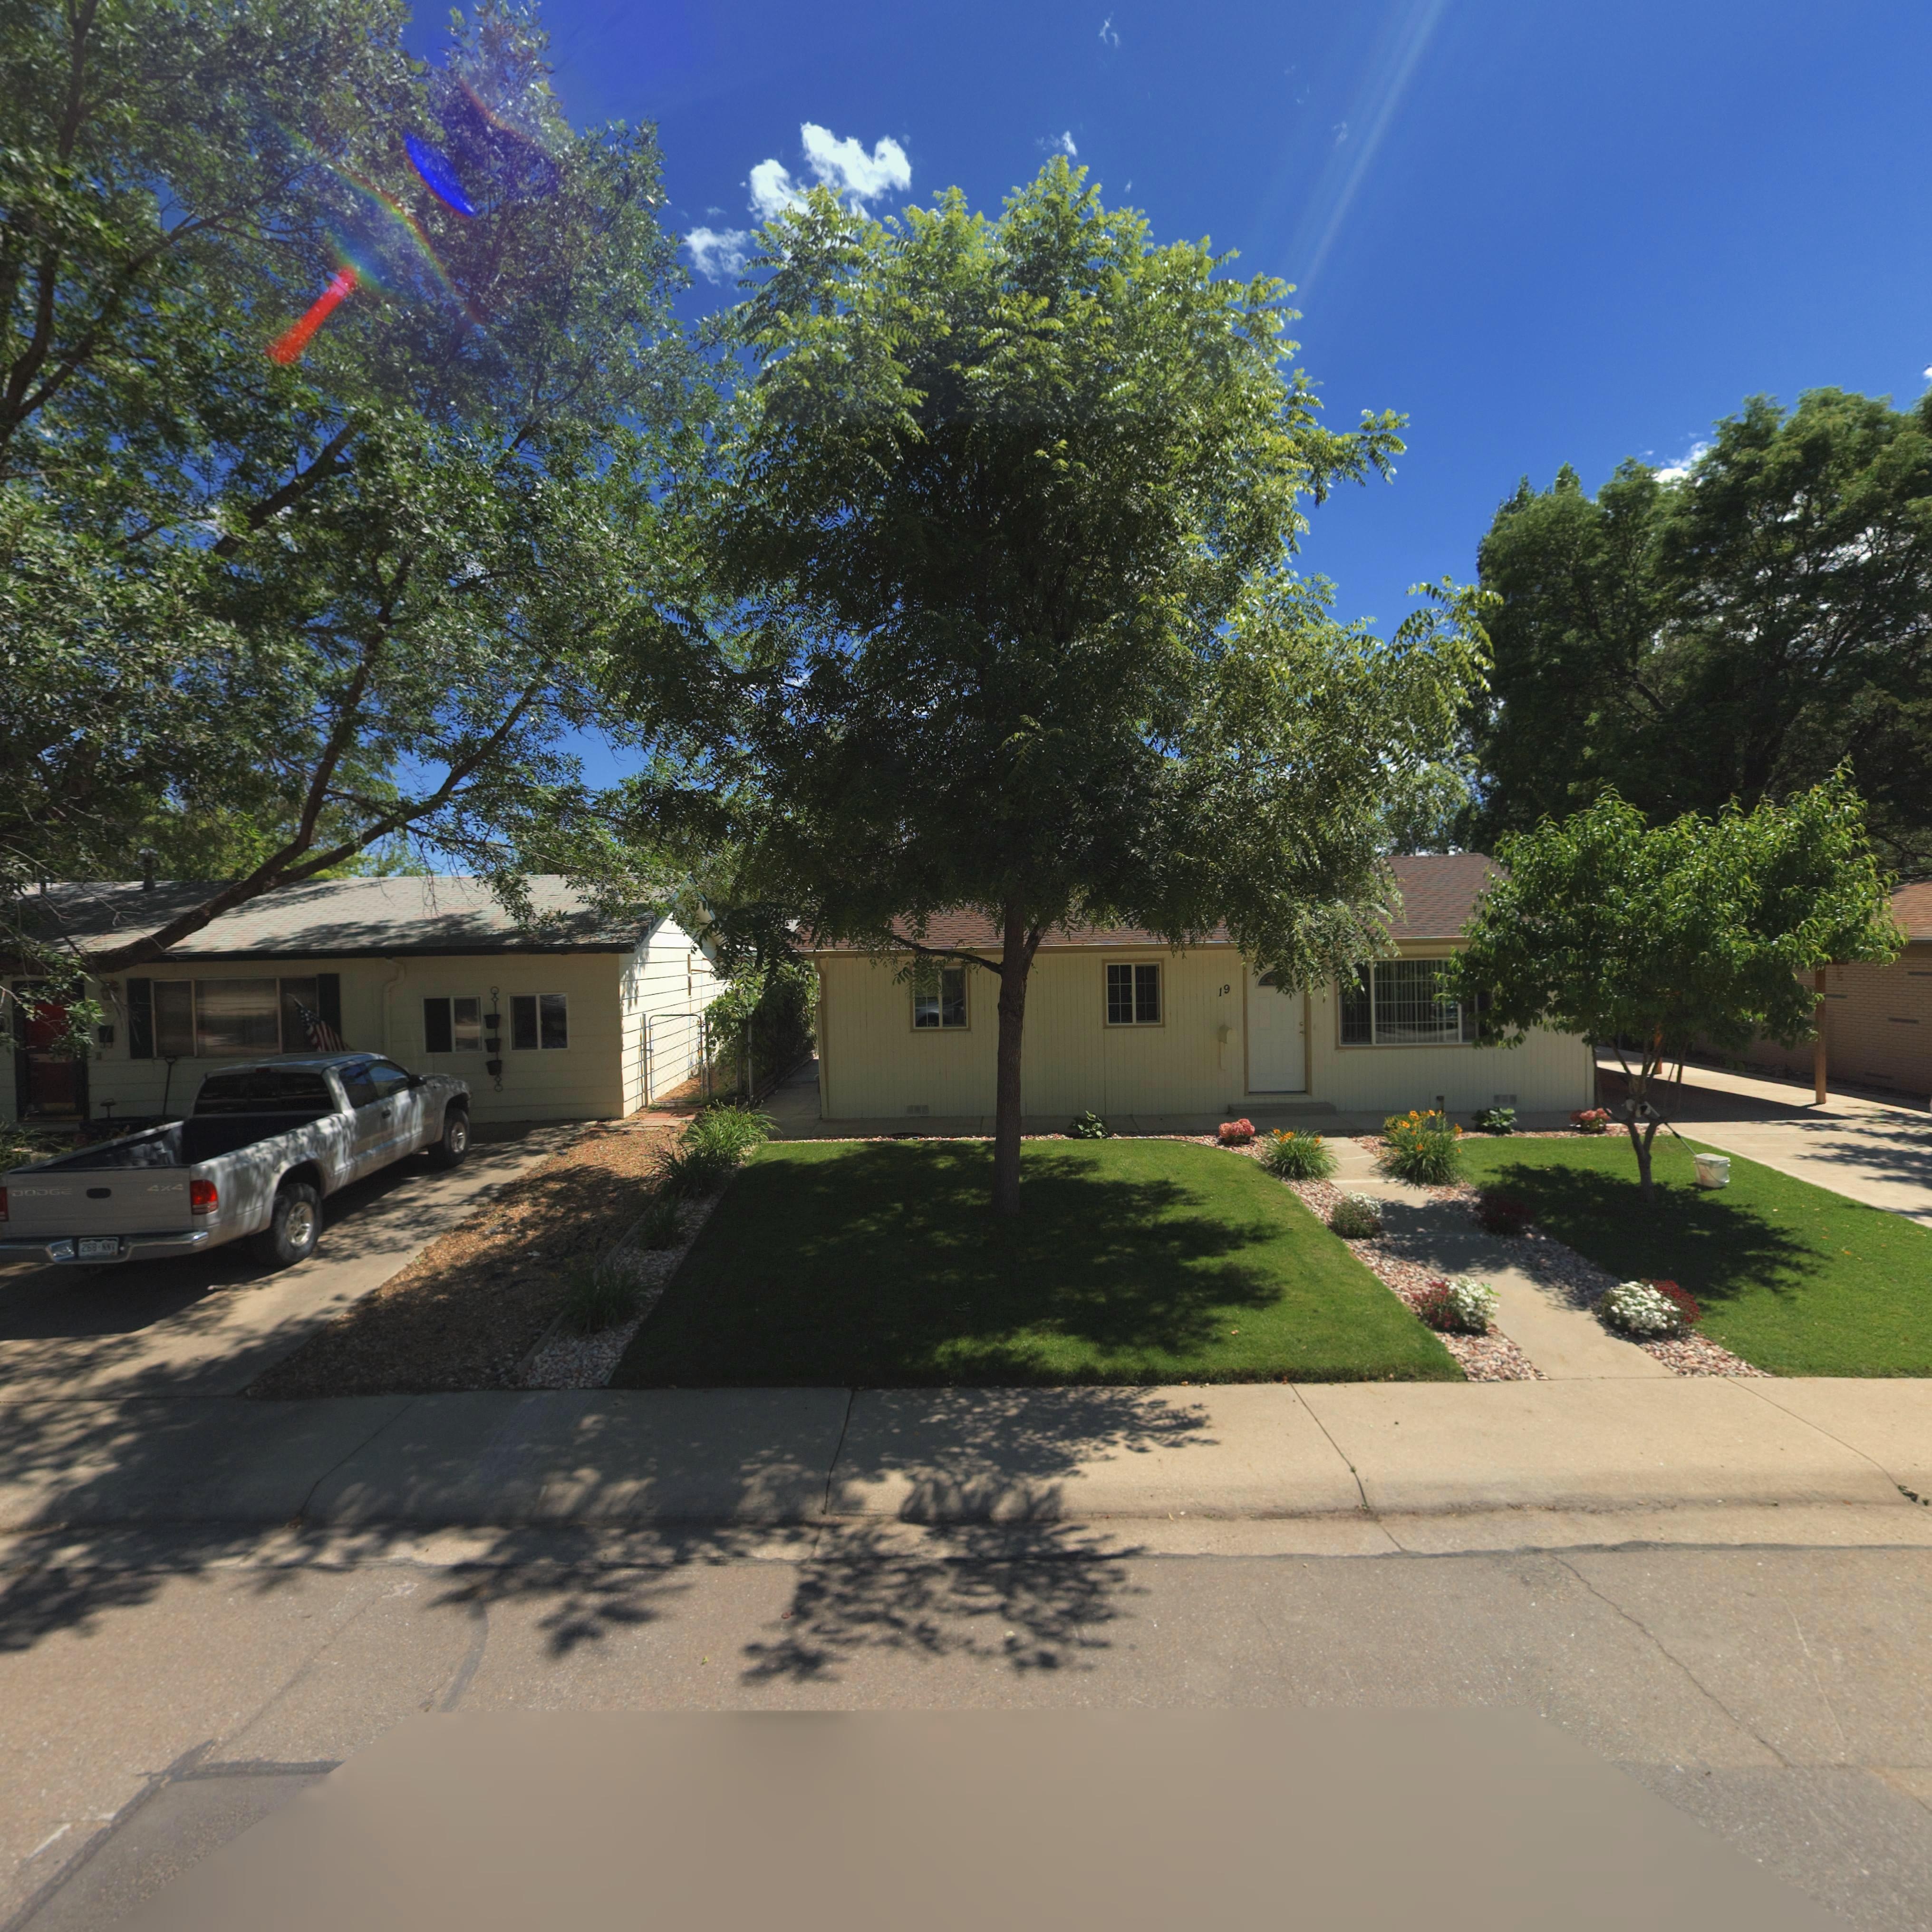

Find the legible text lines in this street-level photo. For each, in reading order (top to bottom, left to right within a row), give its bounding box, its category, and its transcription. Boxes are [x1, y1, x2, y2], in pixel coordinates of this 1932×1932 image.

[1218, 984, 1230, 996] StreetNumber: 19